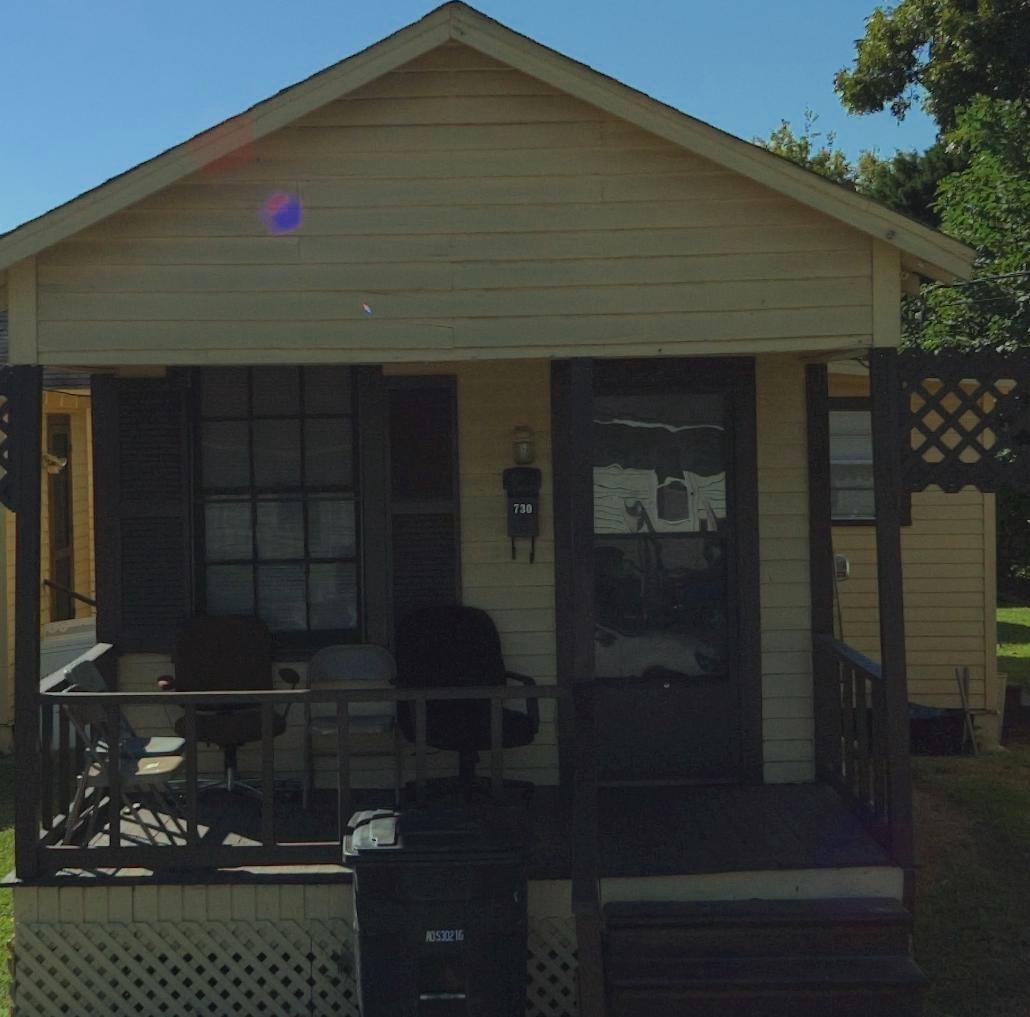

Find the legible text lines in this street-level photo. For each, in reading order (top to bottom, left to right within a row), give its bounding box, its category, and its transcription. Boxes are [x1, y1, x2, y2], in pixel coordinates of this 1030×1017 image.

[512, 502, 534, 515] StreetNumber: 730
[427, 927, 466, 944] None: 0530216